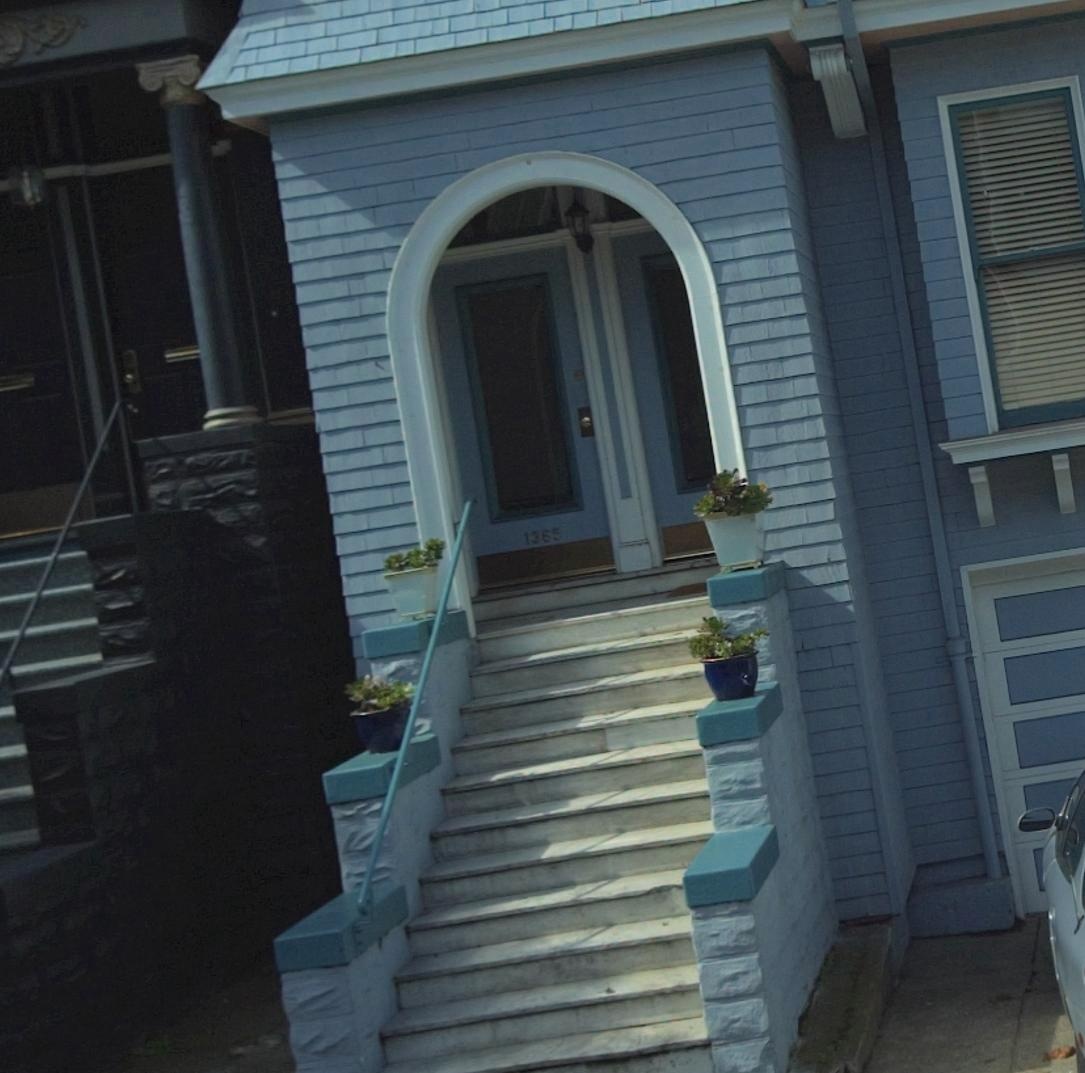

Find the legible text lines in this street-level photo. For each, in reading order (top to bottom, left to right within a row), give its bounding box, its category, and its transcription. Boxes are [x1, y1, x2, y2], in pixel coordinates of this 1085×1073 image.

[520, 524, 565, 549] StreetNumber: 1365